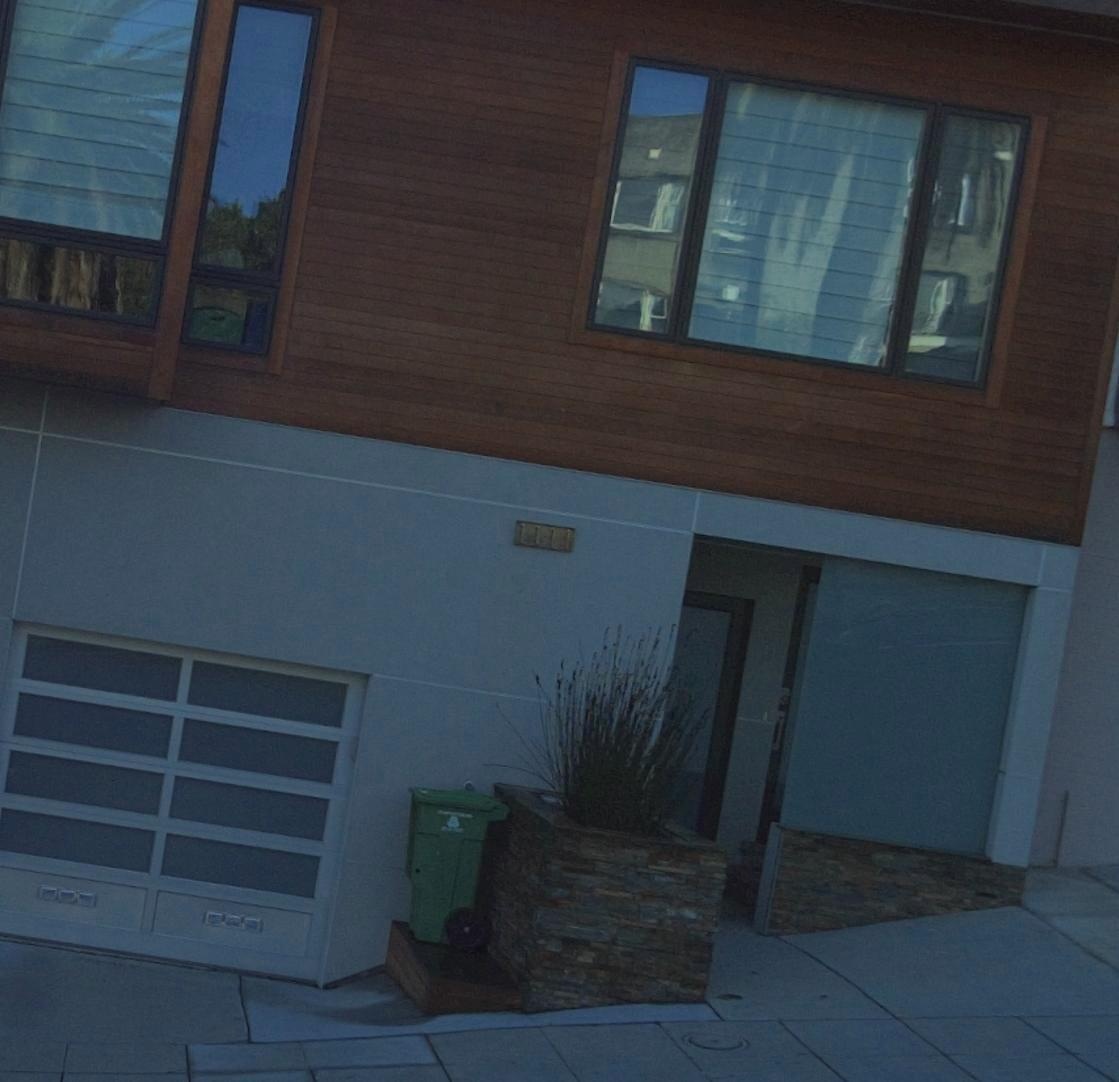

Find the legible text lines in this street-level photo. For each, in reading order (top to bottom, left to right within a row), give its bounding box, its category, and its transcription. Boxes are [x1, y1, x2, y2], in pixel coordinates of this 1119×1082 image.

[517, 521, 574, 551] StreetNumber: 1111